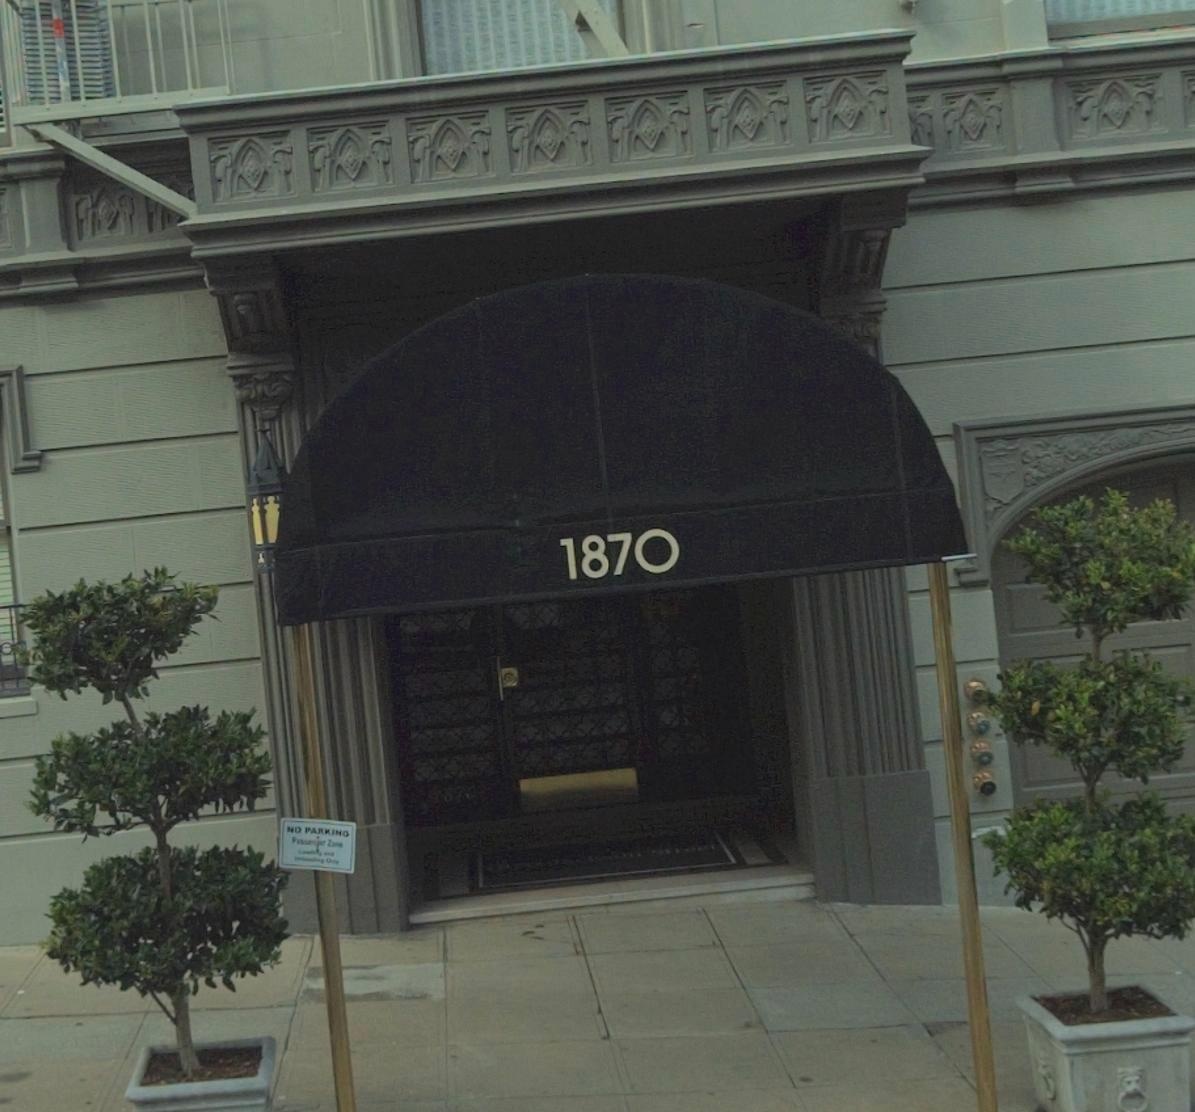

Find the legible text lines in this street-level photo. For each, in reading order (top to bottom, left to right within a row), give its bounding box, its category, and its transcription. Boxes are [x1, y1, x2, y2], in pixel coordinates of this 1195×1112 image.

[554, 524, 683, 585] StreetNumber: 1870
[284, 822, 353, 840] None: NO PARKING